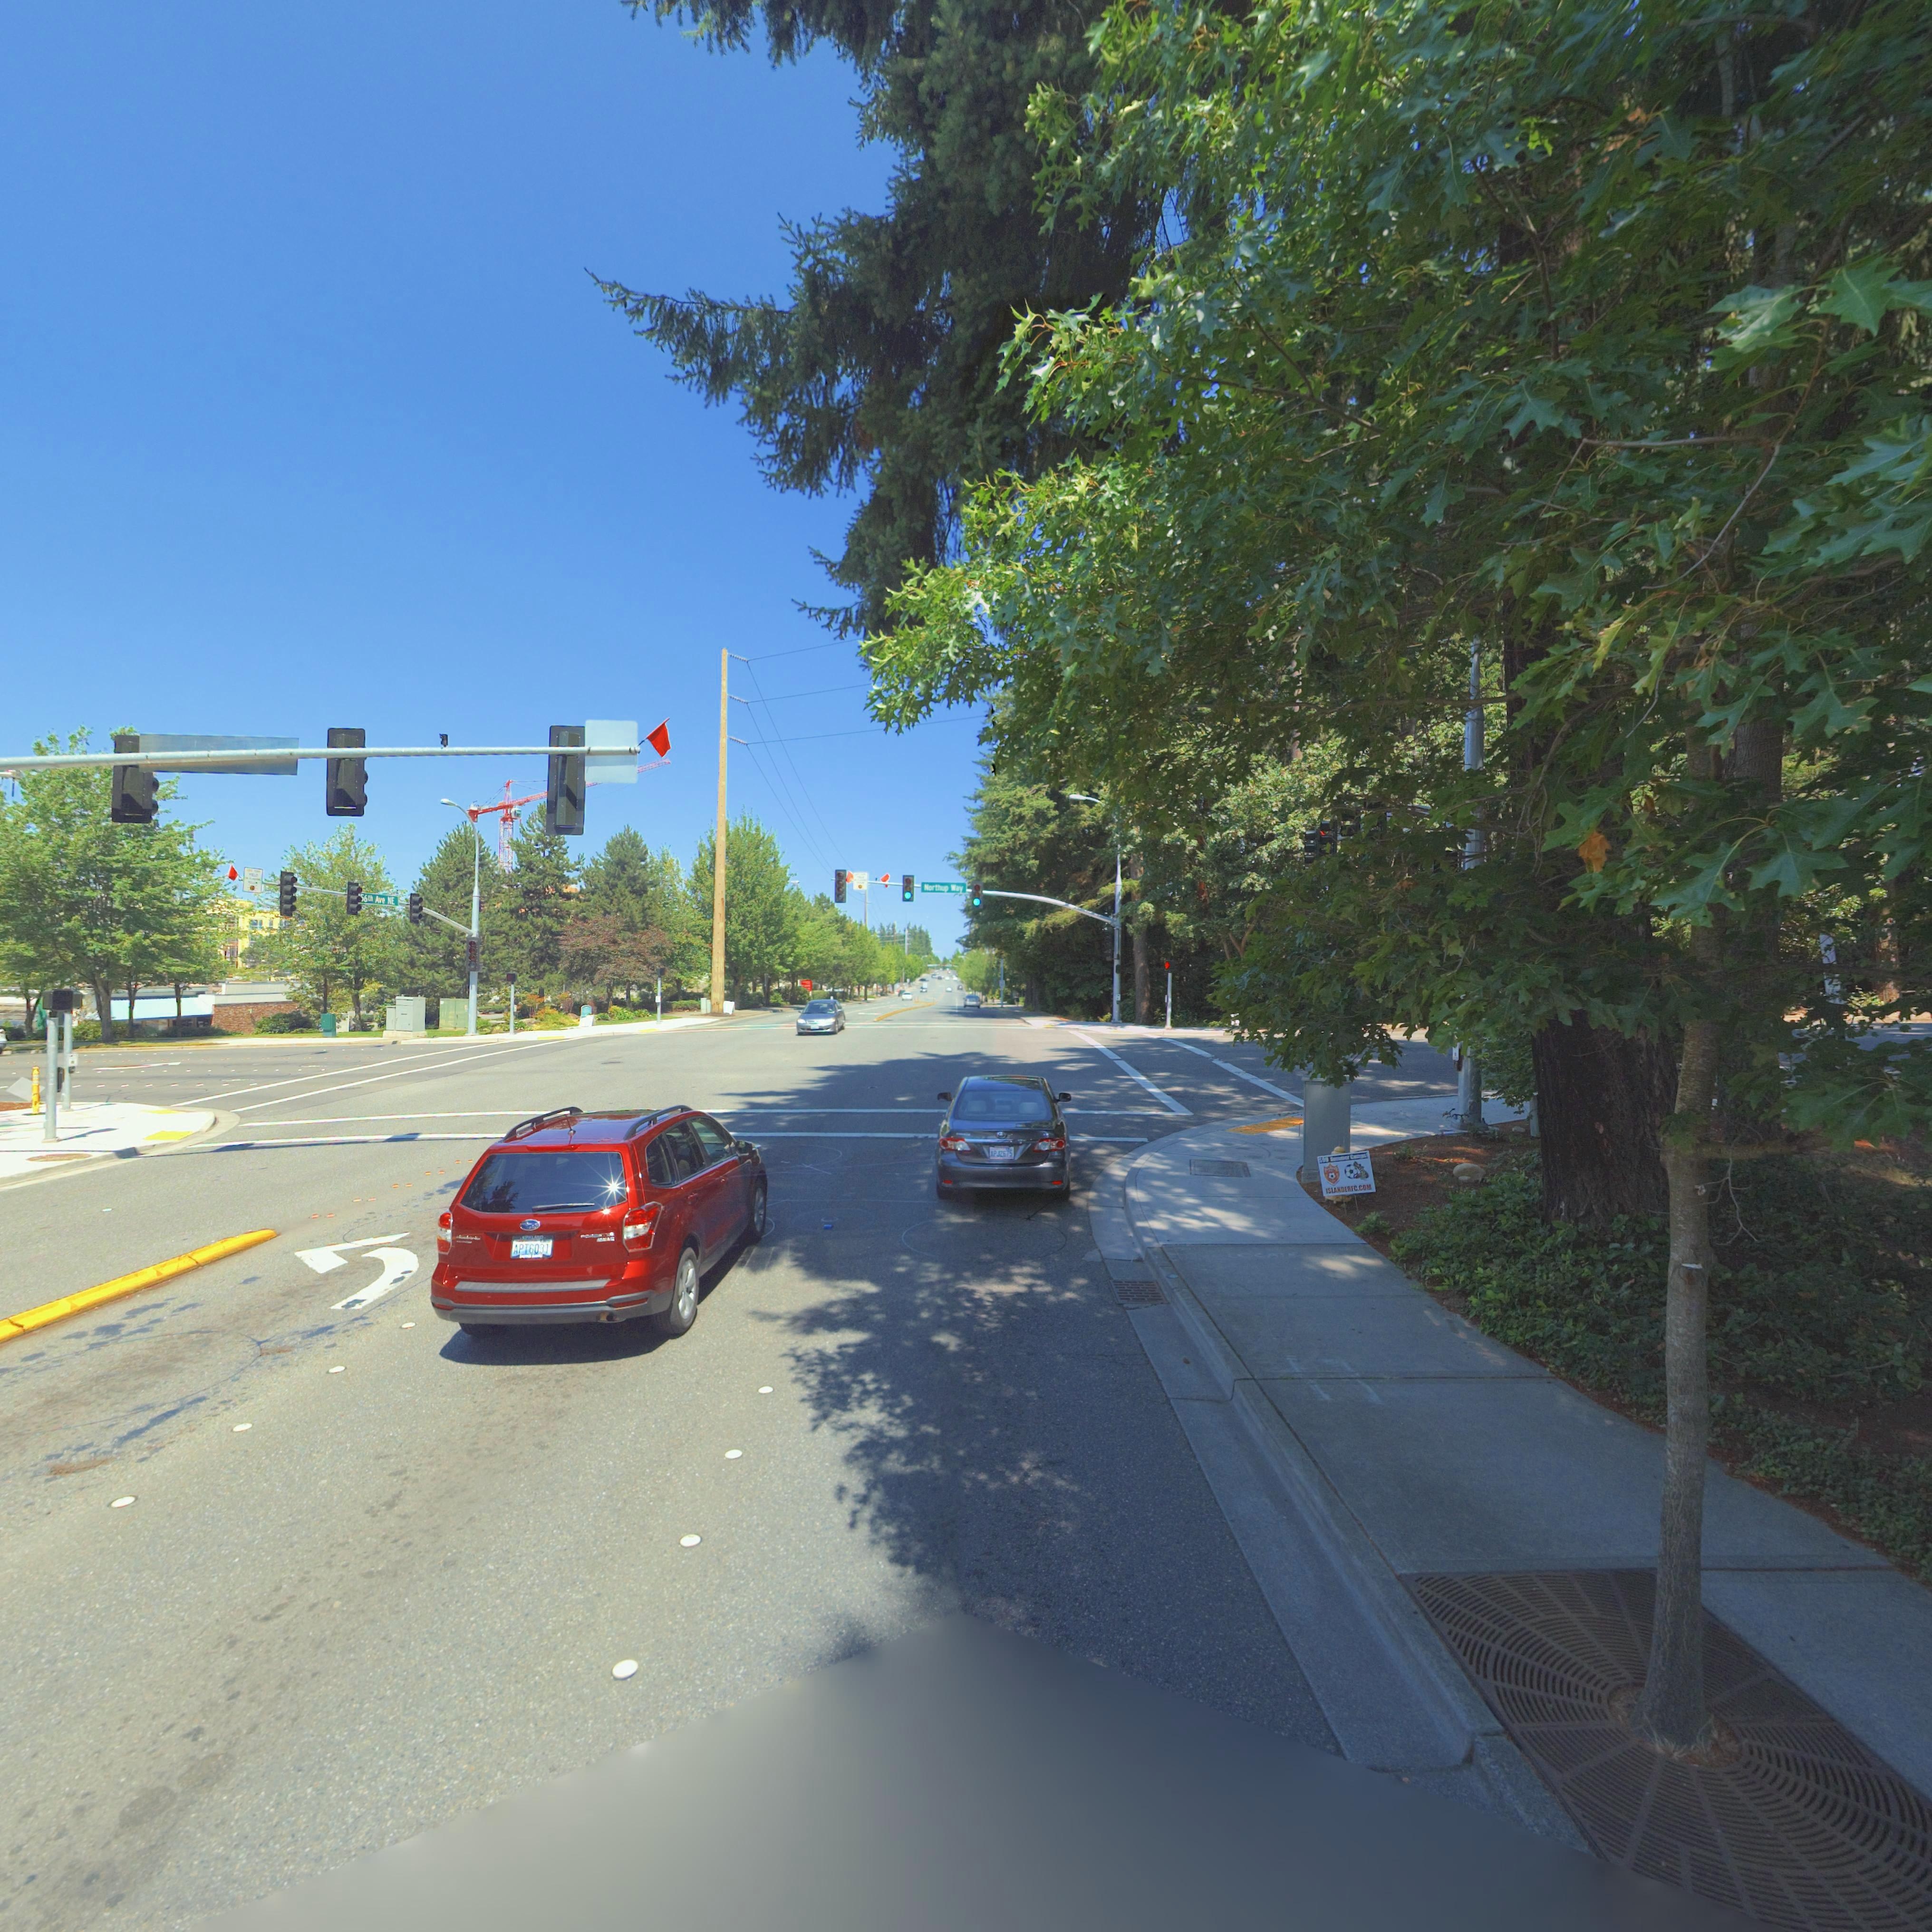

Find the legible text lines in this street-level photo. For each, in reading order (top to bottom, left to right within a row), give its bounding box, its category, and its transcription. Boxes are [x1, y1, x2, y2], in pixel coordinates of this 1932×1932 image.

[924, 884, 963, 893] StreetName: Northup Way
[360, 894, 395, 904] SecondaryUnitDesignator: *6th Ave NE